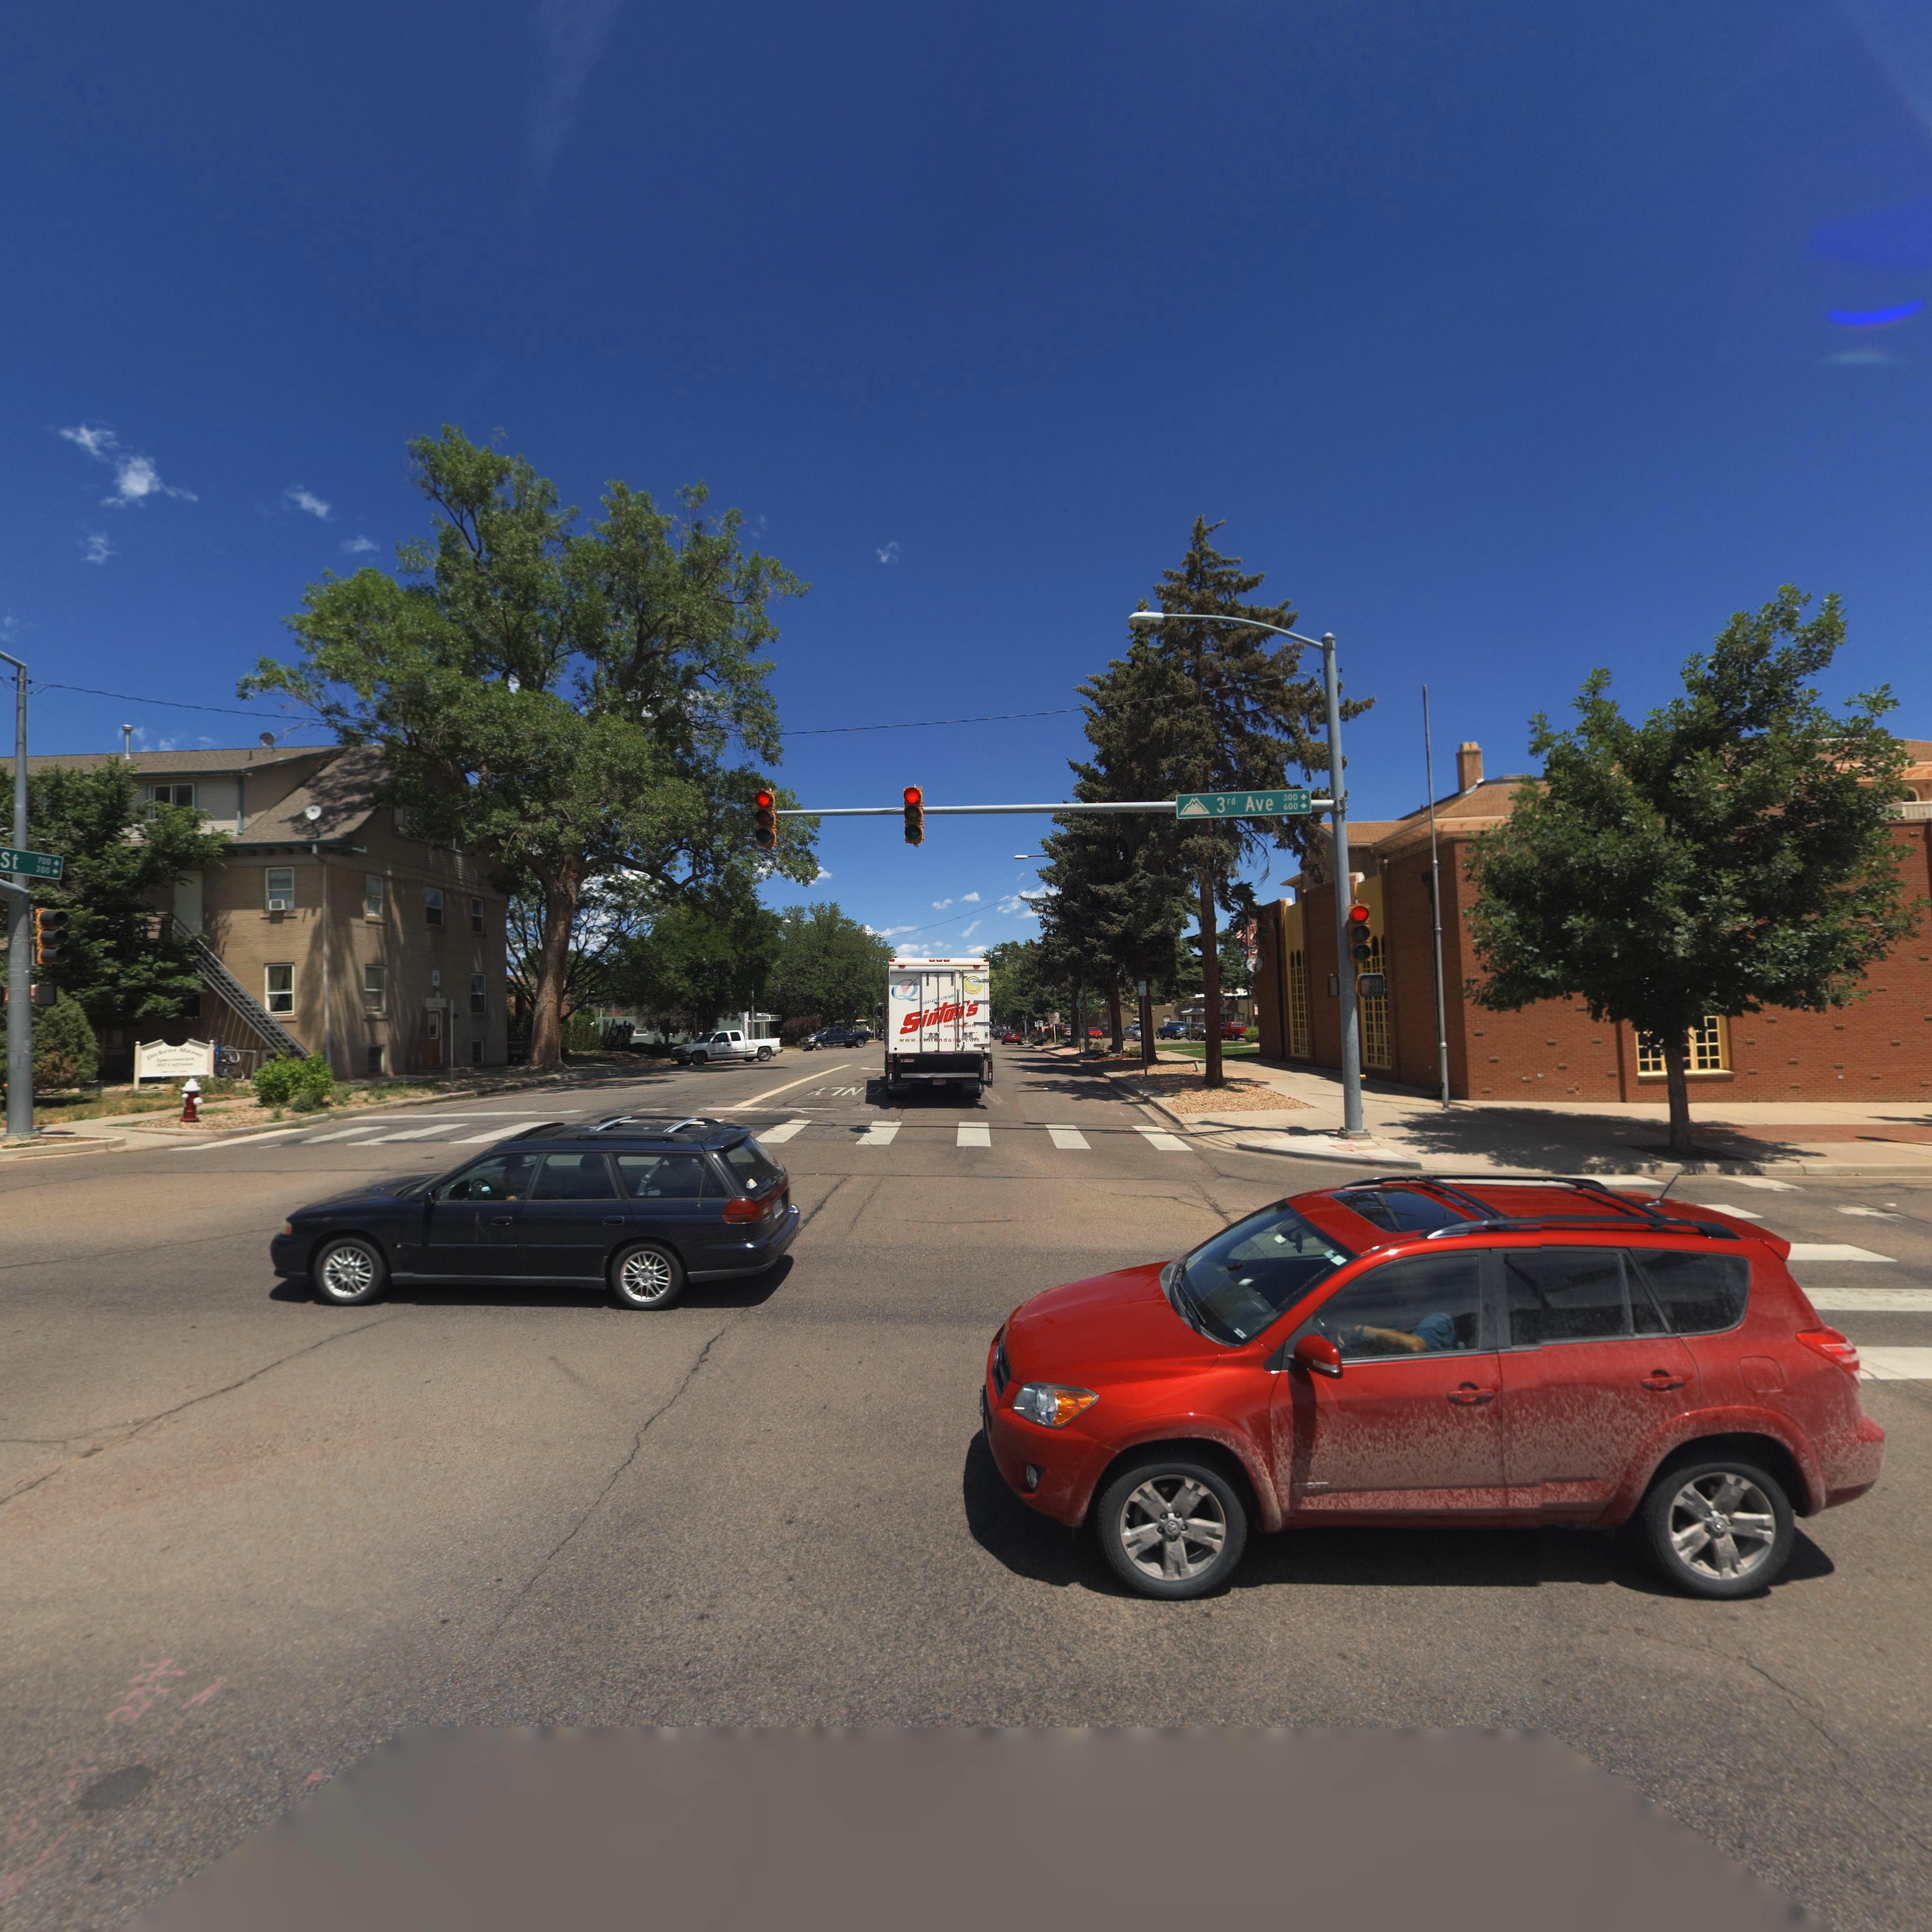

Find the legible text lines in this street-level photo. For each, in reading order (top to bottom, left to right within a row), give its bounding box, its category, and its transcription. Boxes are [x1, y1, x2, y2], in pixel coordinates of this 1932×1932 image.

[1283, 793, 1297, 801] StreetNumberRange: 300
[1217, 795, 1273, 813] StreetName: 3rd Ave
[1284, 802, 1307, 810] StreetNumberRange: 600->
[0, 851, 19, 869] StreetName: St
[37, 856, 51, 865] StreetNumberRange: 700
[36, 865, 59, 874] StreetNumberRange: 300->